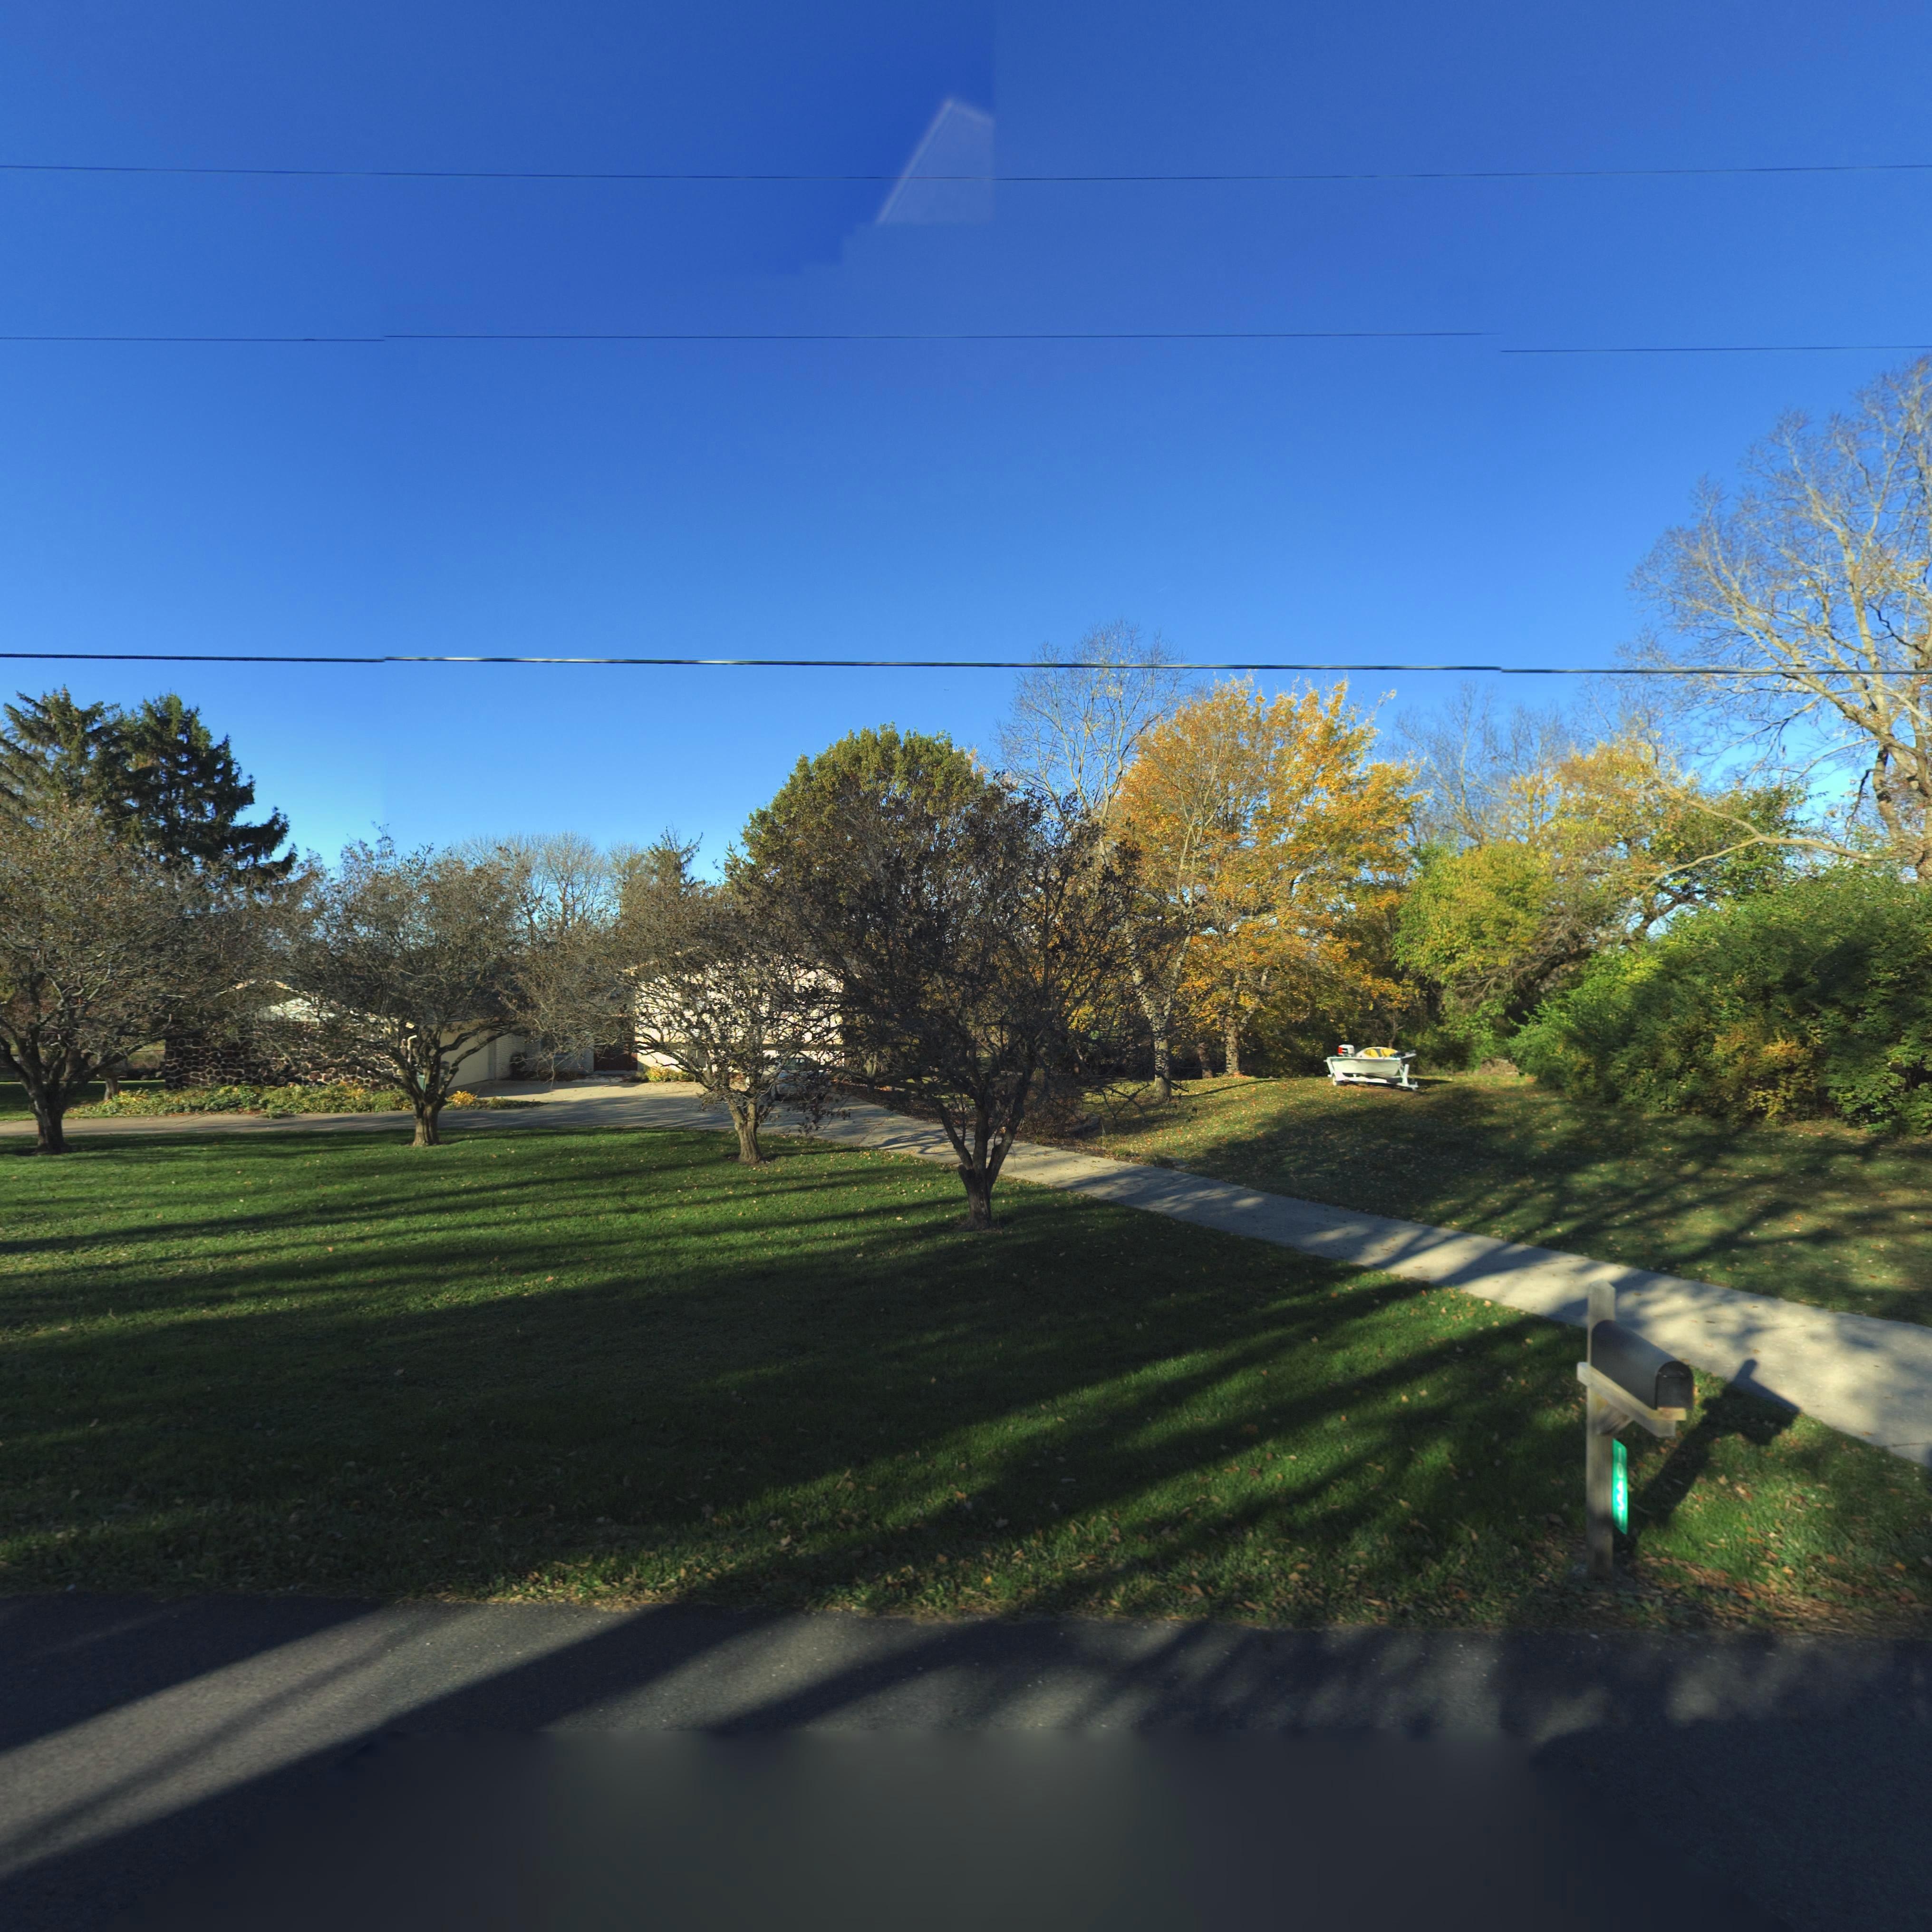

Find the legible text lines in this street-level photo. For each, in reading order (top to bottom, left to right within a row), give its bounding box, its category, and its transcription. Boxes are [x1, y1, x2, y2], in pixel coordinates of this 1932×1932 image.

[1614, 1446, 1626, 1530] StreetNumber: 10451